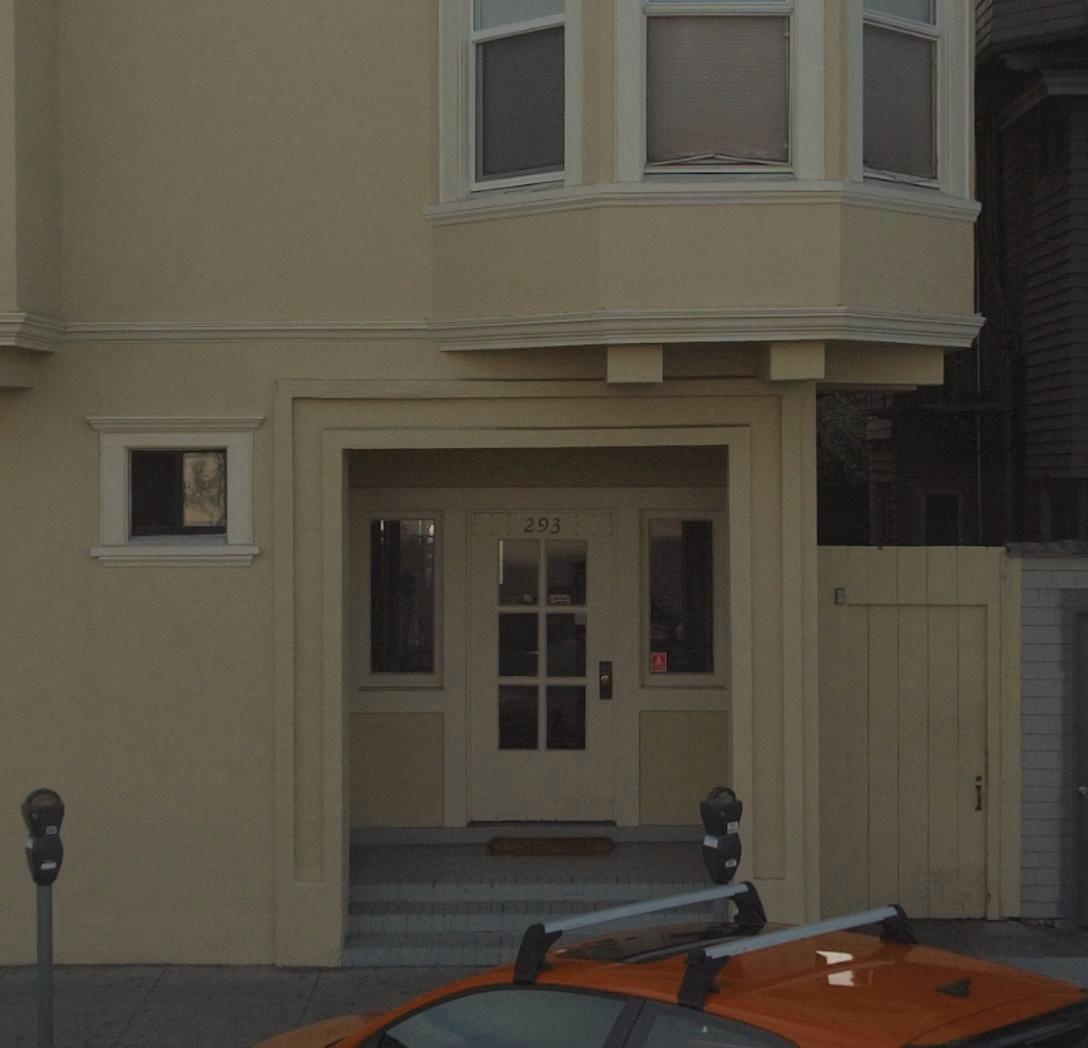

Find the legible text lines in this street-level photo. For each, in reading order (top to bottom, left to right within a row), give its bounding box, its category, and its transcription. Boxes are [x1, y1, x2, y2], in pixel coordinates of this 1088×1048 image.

[522, 516, 562, 535] StreetNumber: 293